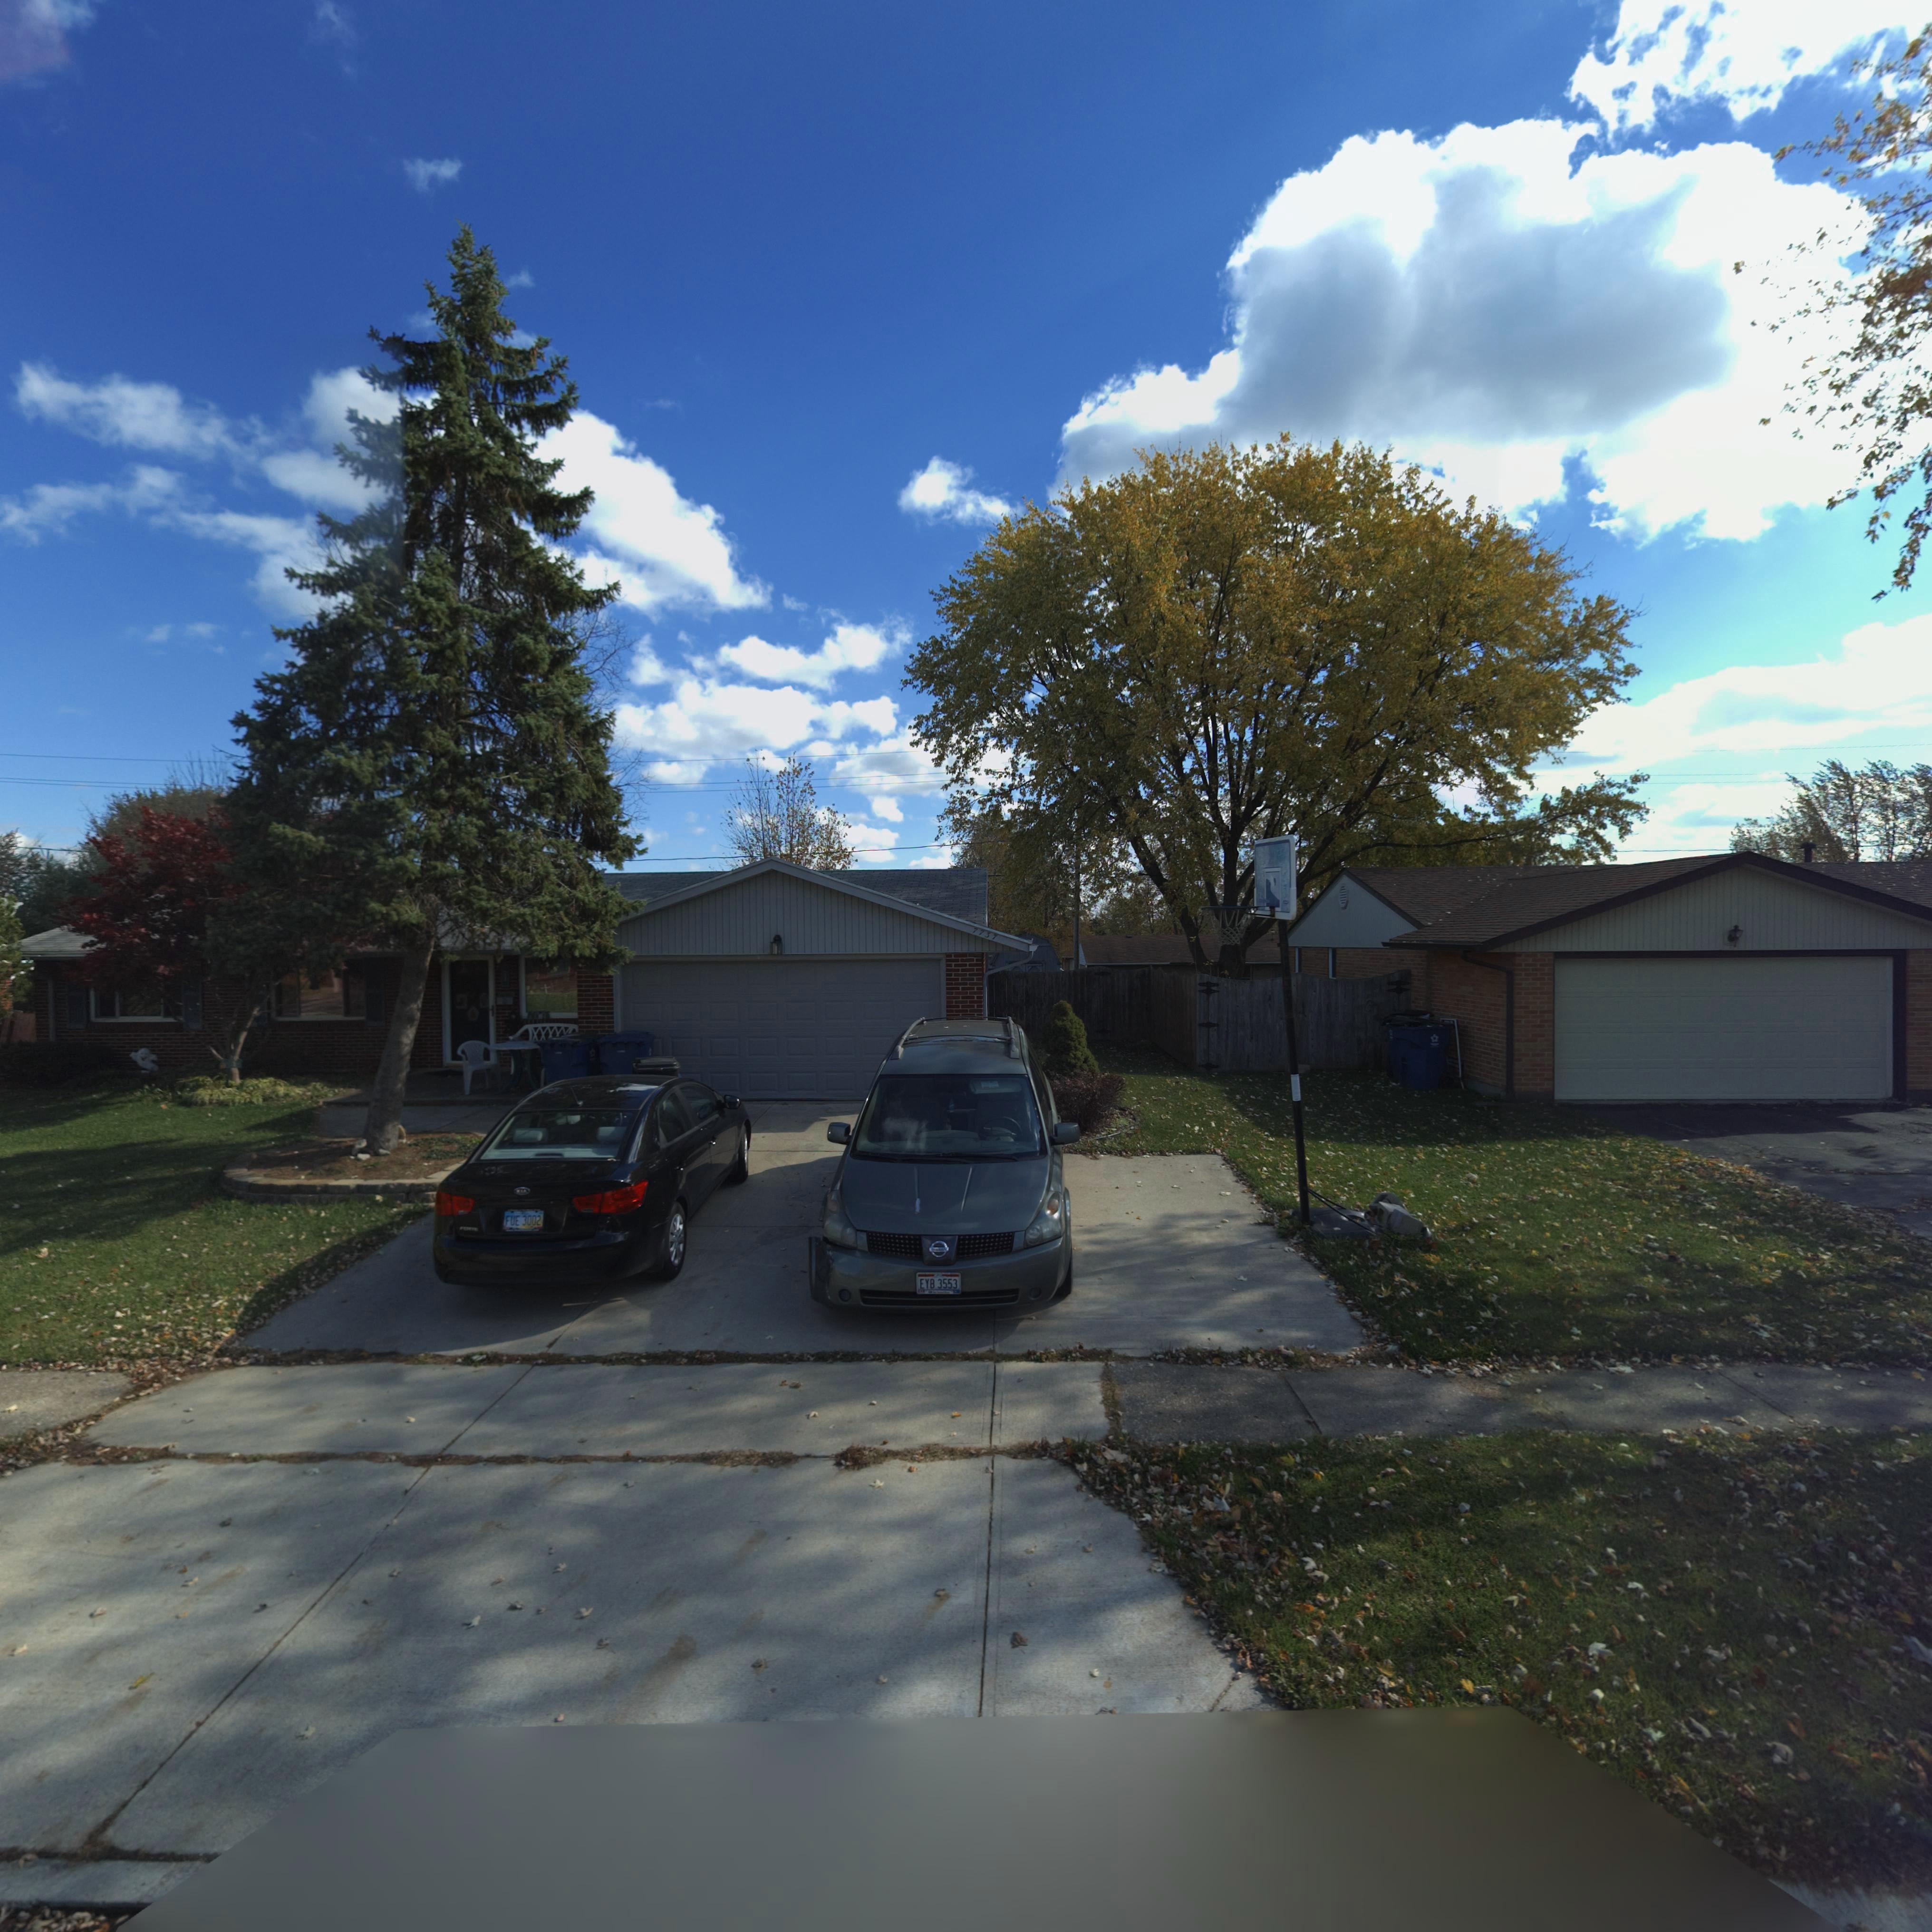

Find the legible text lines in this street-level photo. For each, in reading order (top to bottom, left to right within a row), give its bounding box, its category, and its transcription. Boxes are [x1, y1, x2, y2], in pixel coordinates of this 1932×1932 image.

[502, 969, 508, 983] StreetNumber: 77